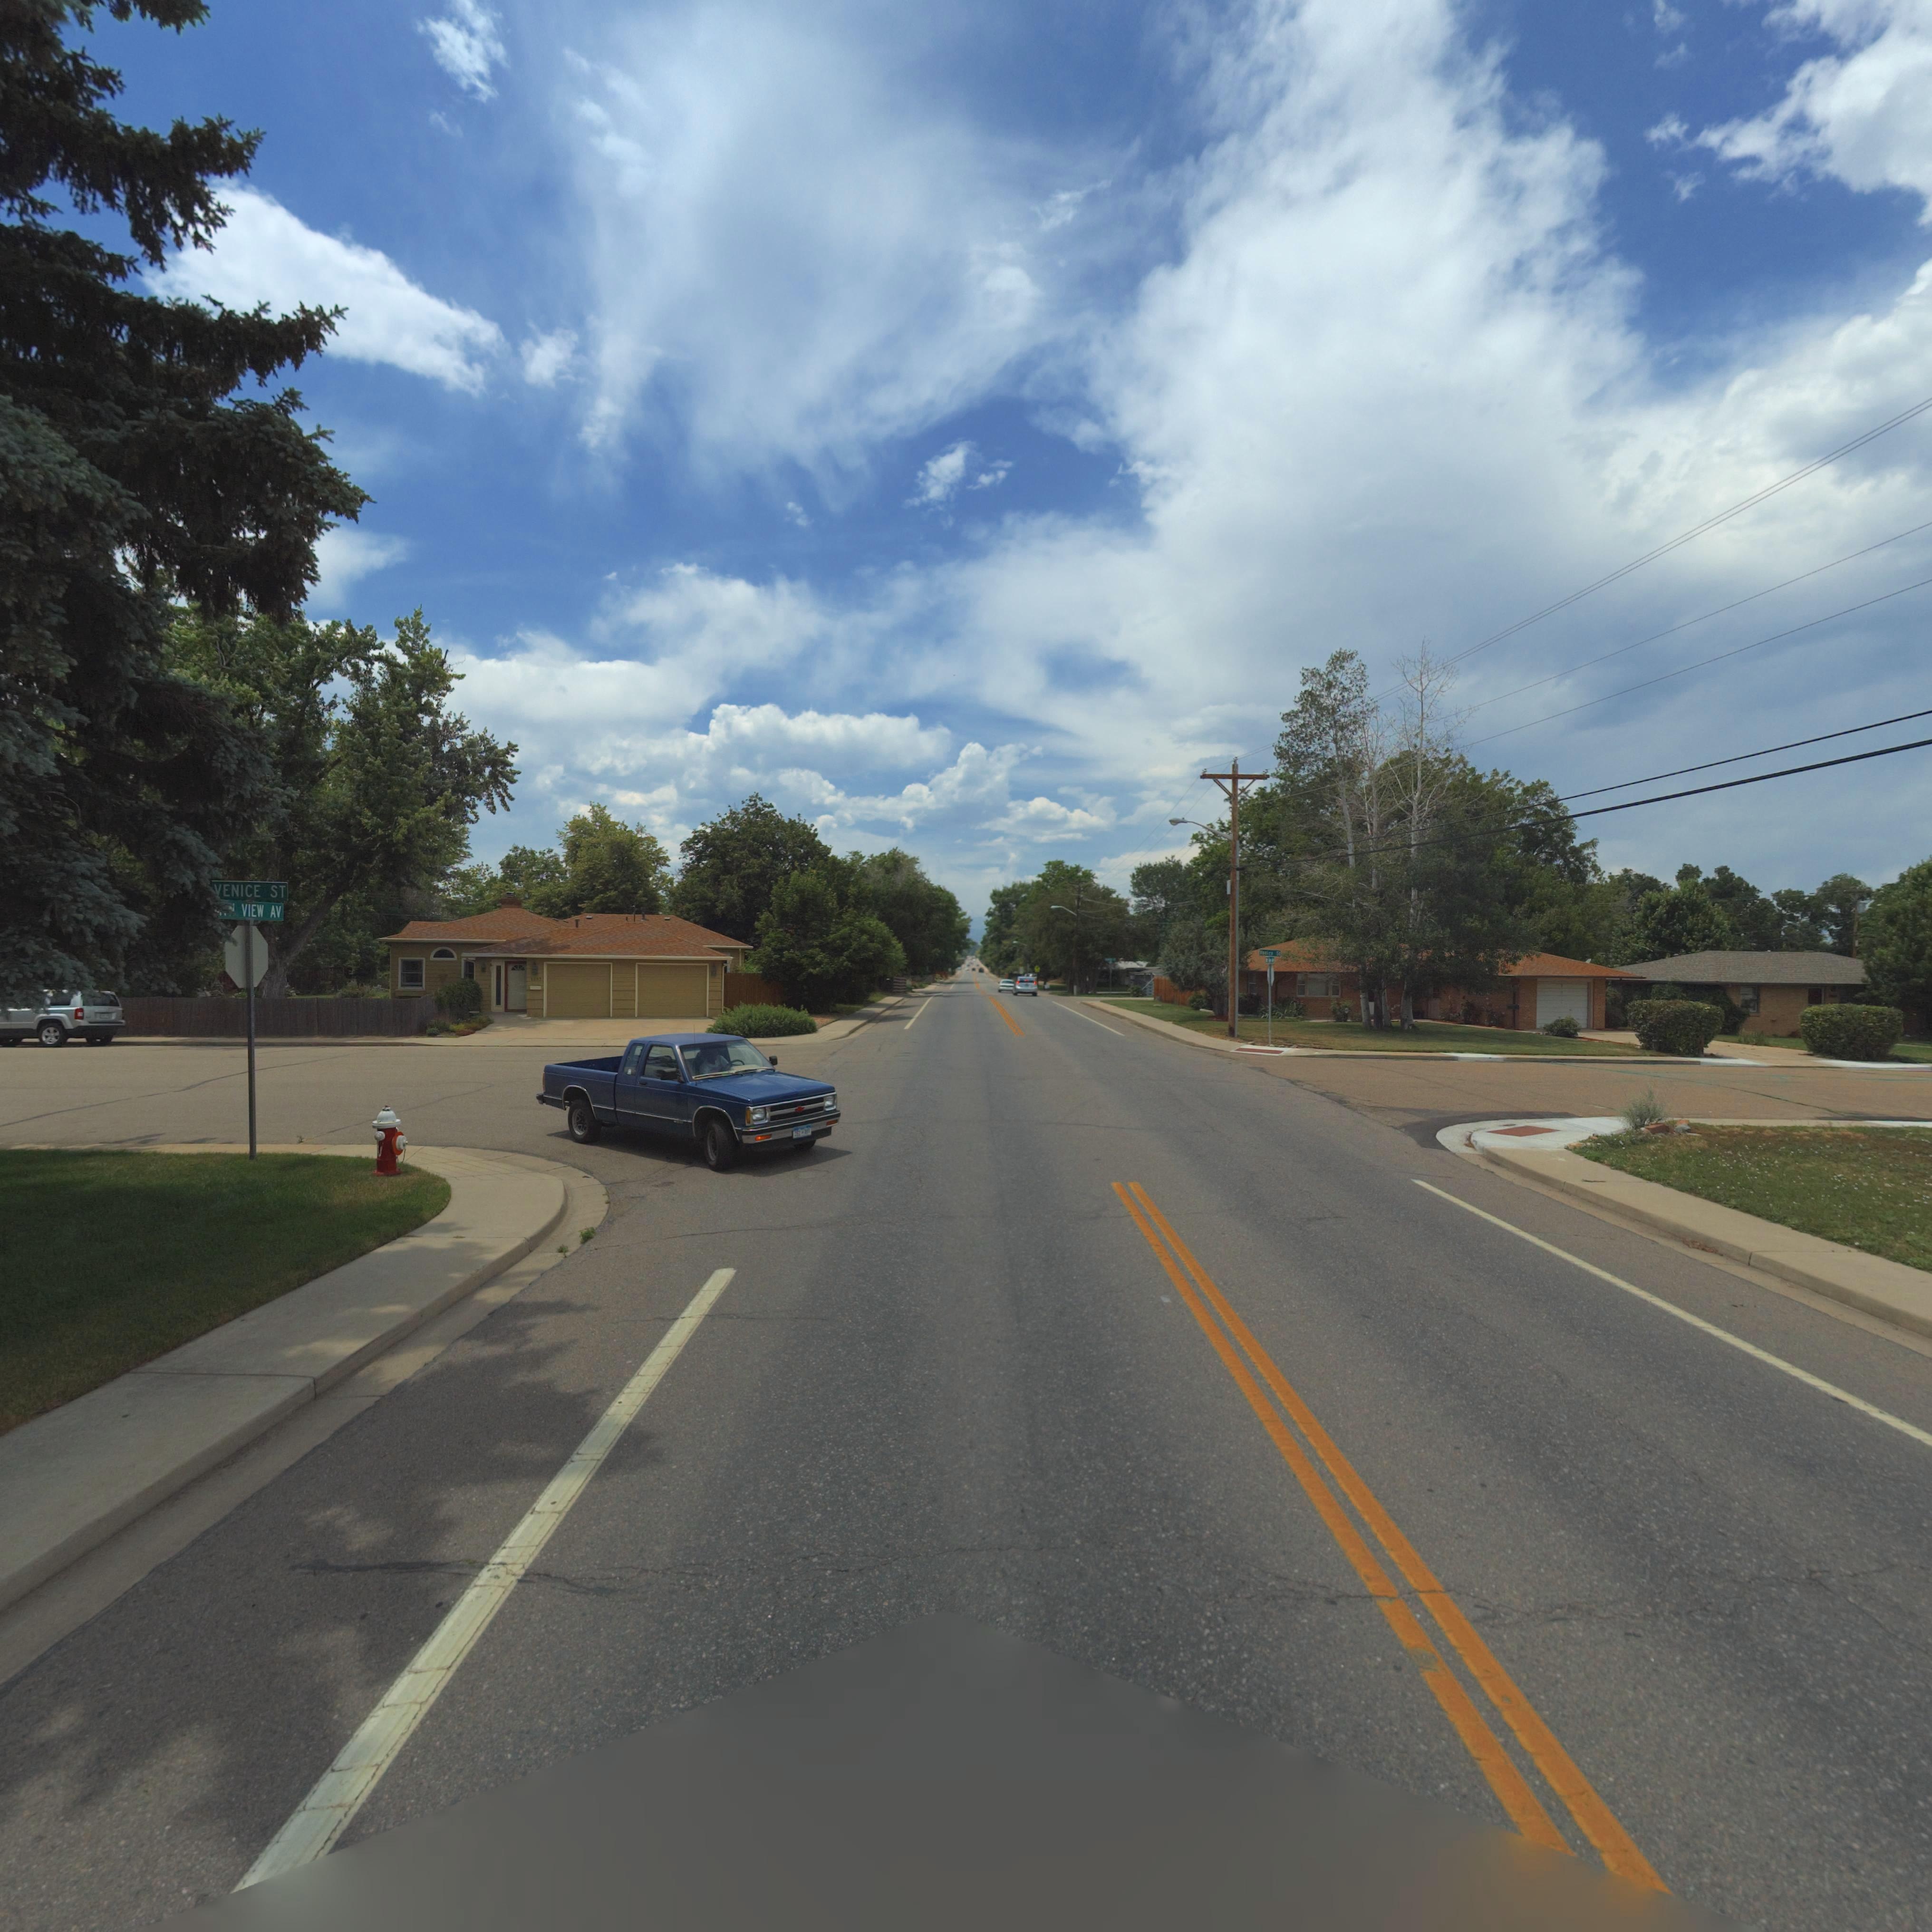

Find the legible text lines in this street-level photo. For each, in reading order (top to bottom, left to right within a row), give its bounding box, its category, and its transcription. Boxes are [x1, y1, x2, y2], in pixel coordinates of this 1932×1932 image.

[212, 882, 288, 899] StreetName: VENICE ST
[213, 902, 282, 918] StreetName: *** VIEW AV
[1259, 949, 1281, 956] StreetName: Ve*ic* St
[530, 976, 542, 982] StreetNumber: 1*5